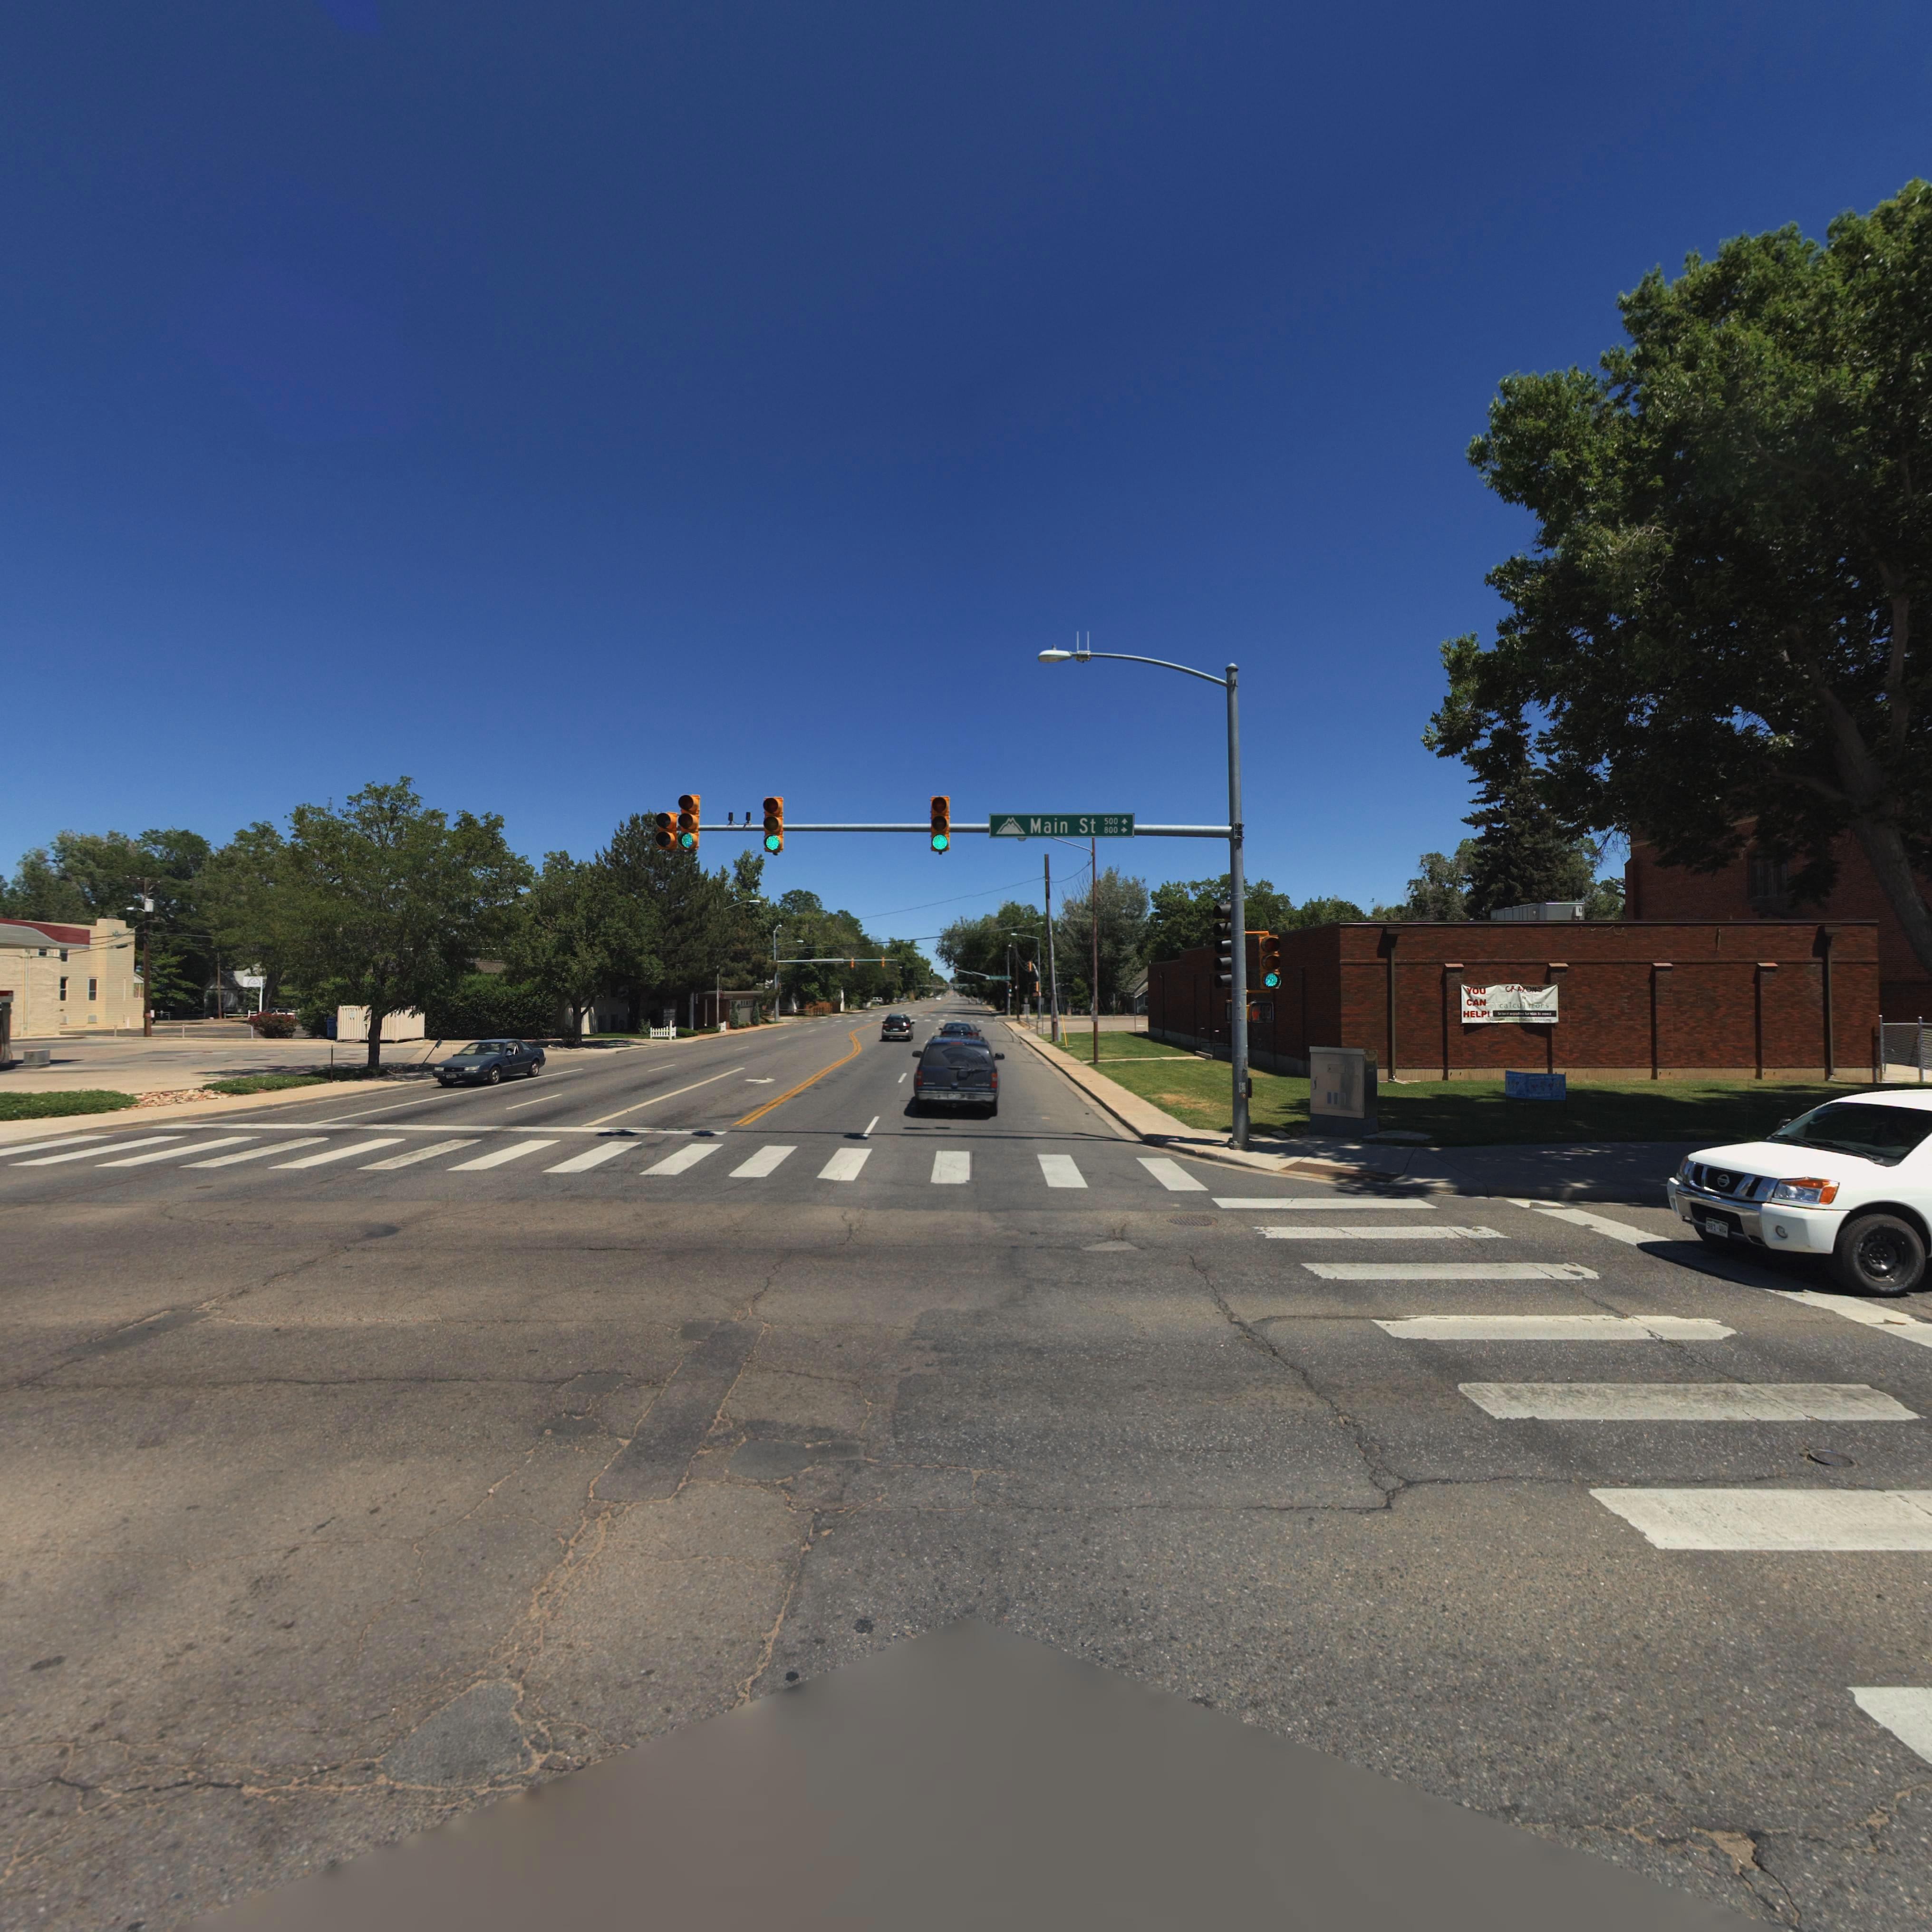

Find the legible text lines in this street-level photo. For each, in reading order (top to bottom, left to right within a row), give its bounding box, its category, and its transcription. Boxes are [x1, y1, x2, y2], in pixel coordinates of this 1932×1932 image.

[1104, 817, 1118, 825] StreetNumberRange: 500
[1030, 817, 1096, 834] StreetName: Main St
[1103, 826, 1128, 834] StreetNumberRange: 800 ->